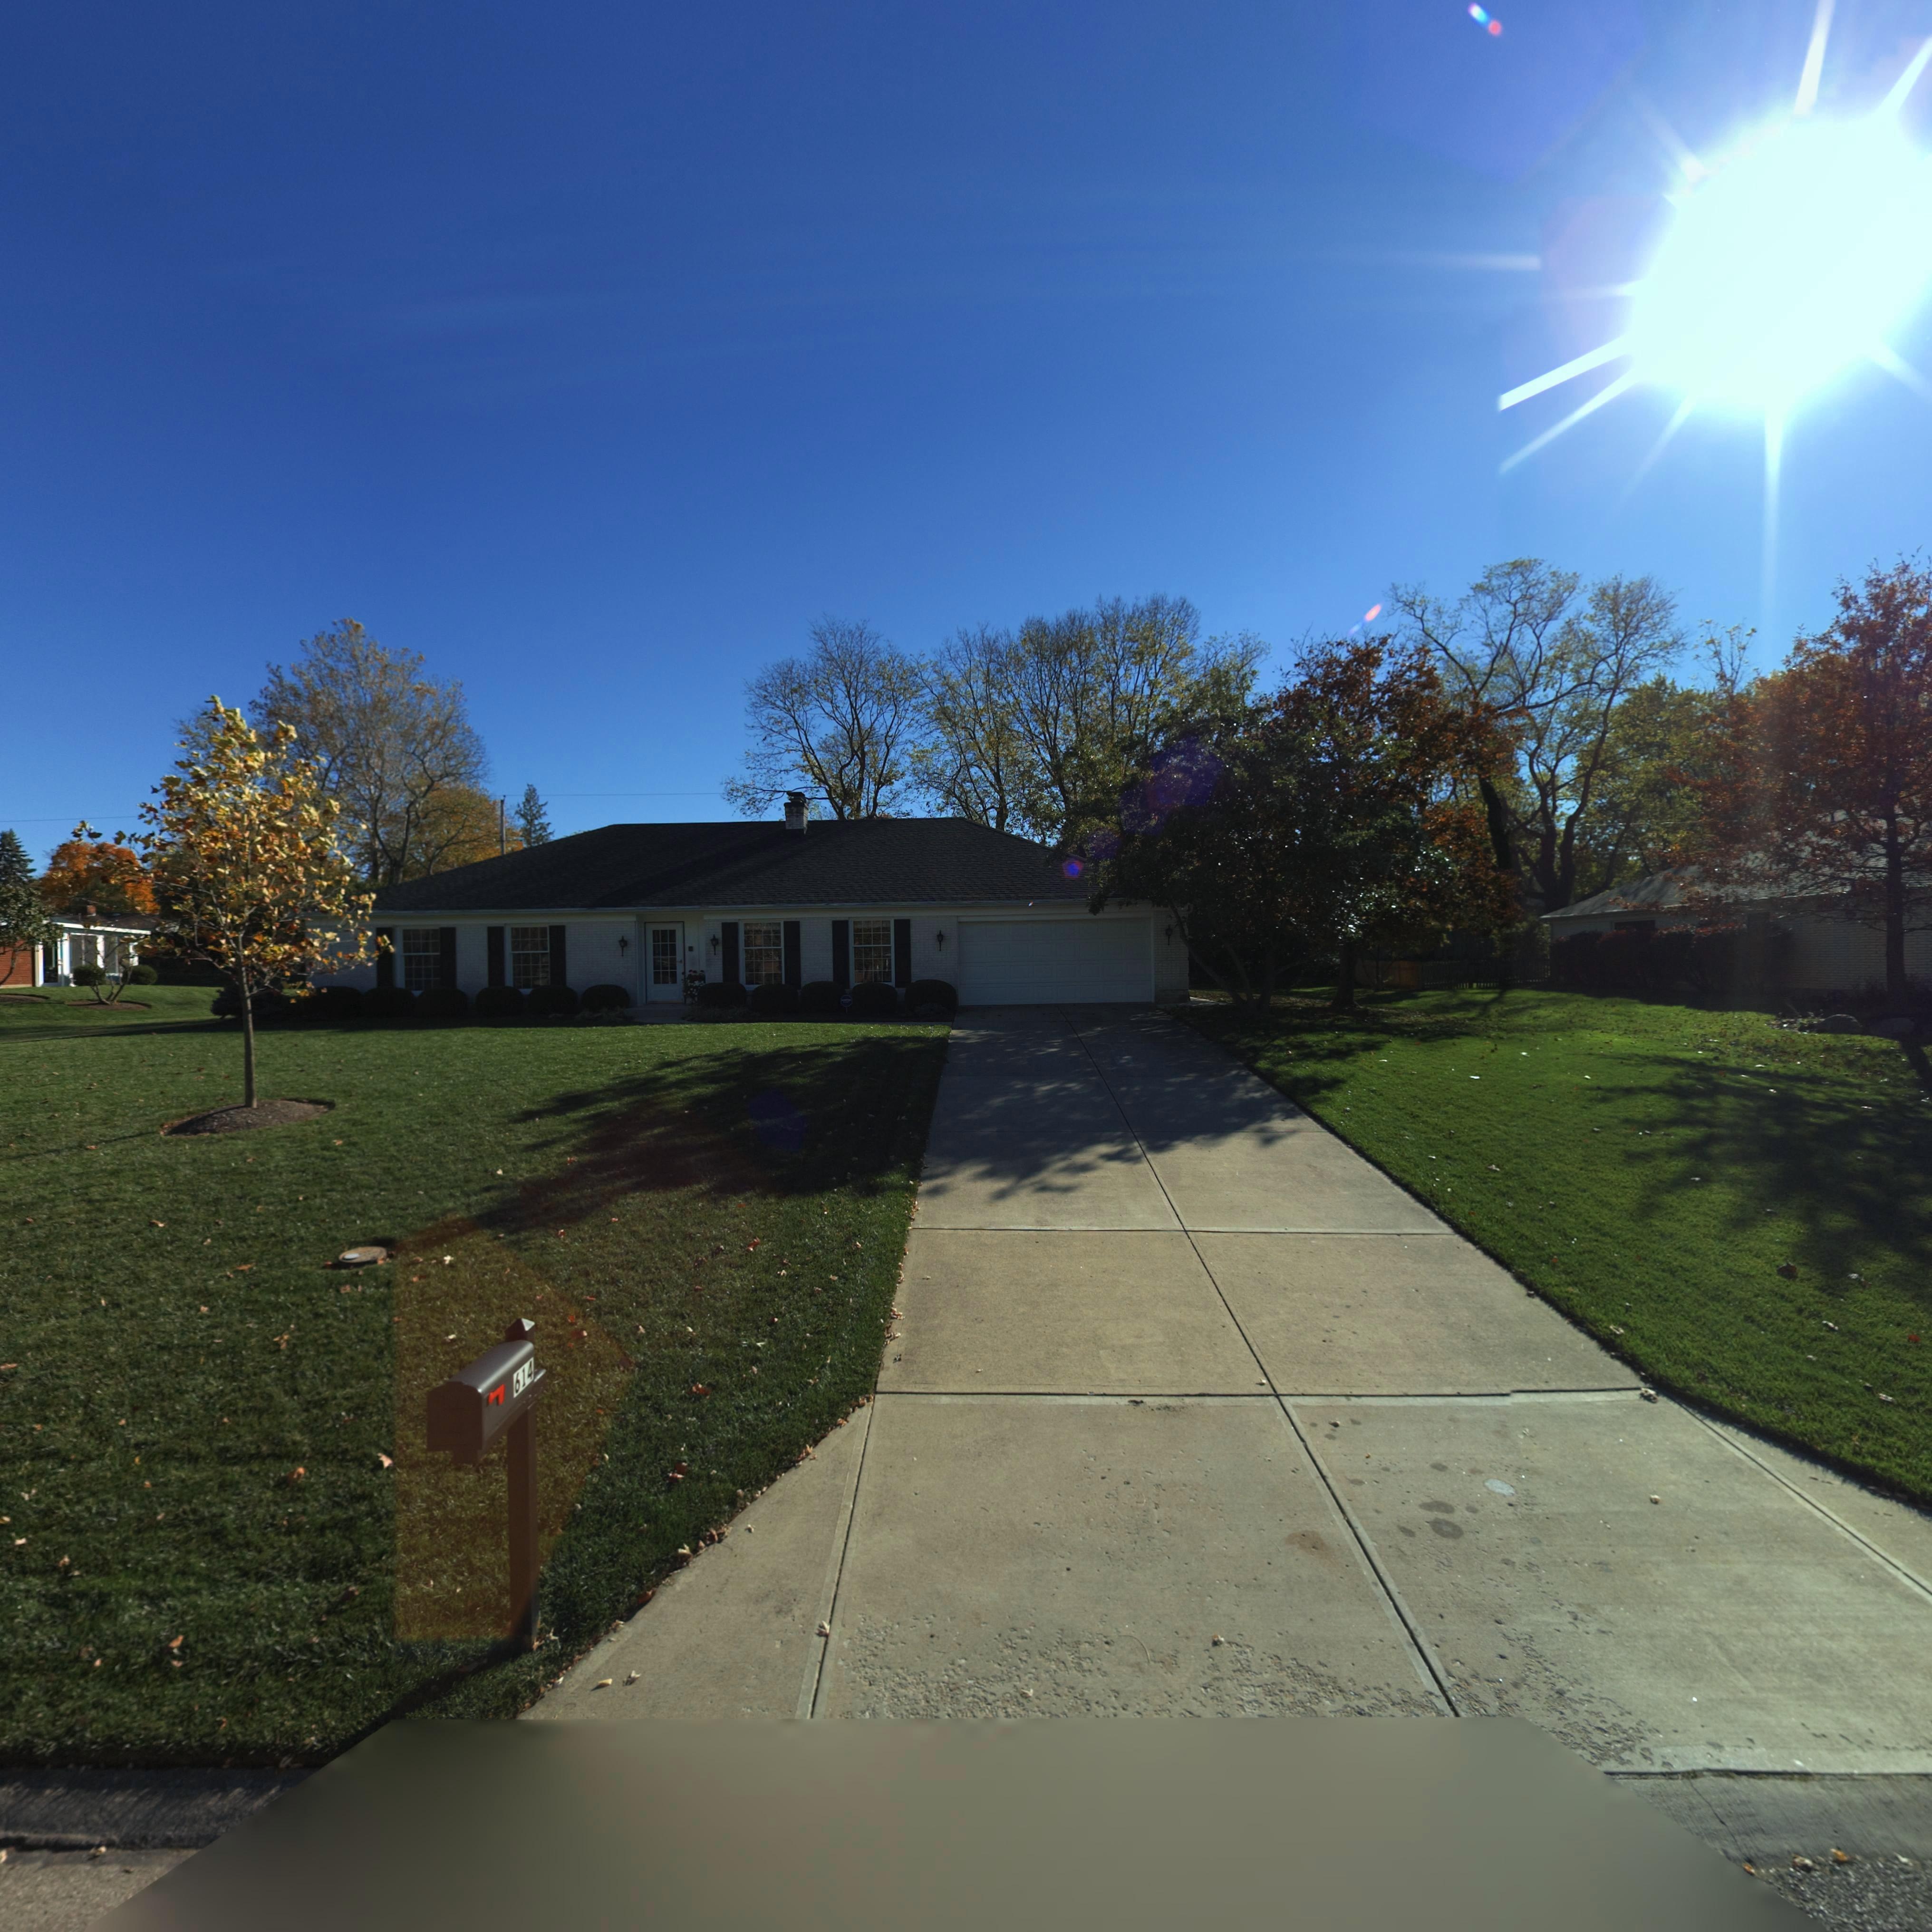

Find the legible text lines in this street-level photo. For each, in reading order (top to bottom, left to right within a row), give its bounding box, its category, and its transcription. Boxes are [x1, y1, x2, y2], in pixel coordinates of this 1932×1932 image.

[513, 1358, 533, 1398] StreetNumber: 614